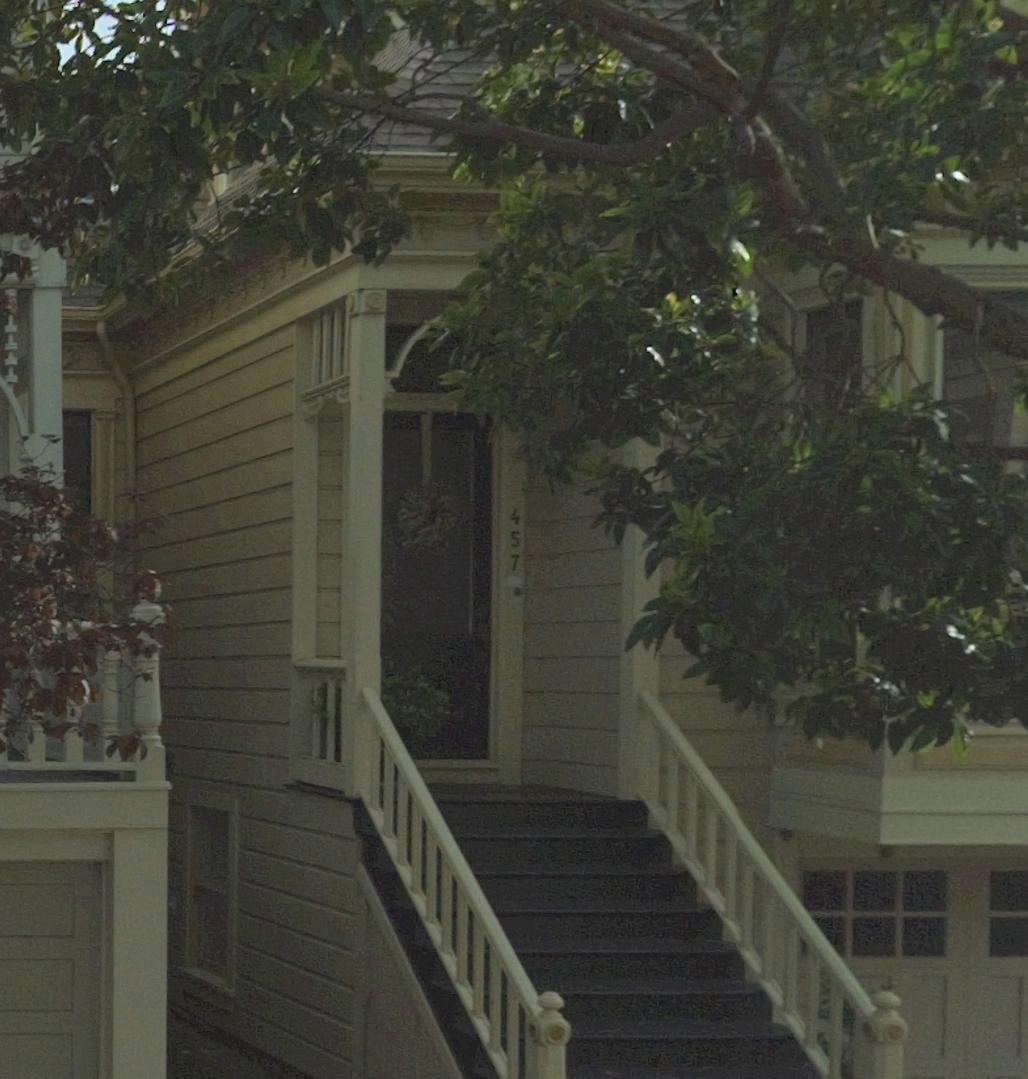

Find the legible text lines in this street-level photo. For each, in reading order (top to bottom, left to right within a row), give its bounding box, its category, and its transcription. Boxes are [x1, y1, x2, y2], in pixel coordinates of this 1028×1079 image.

[508, 507, 523, 572] StreetNumber: 457